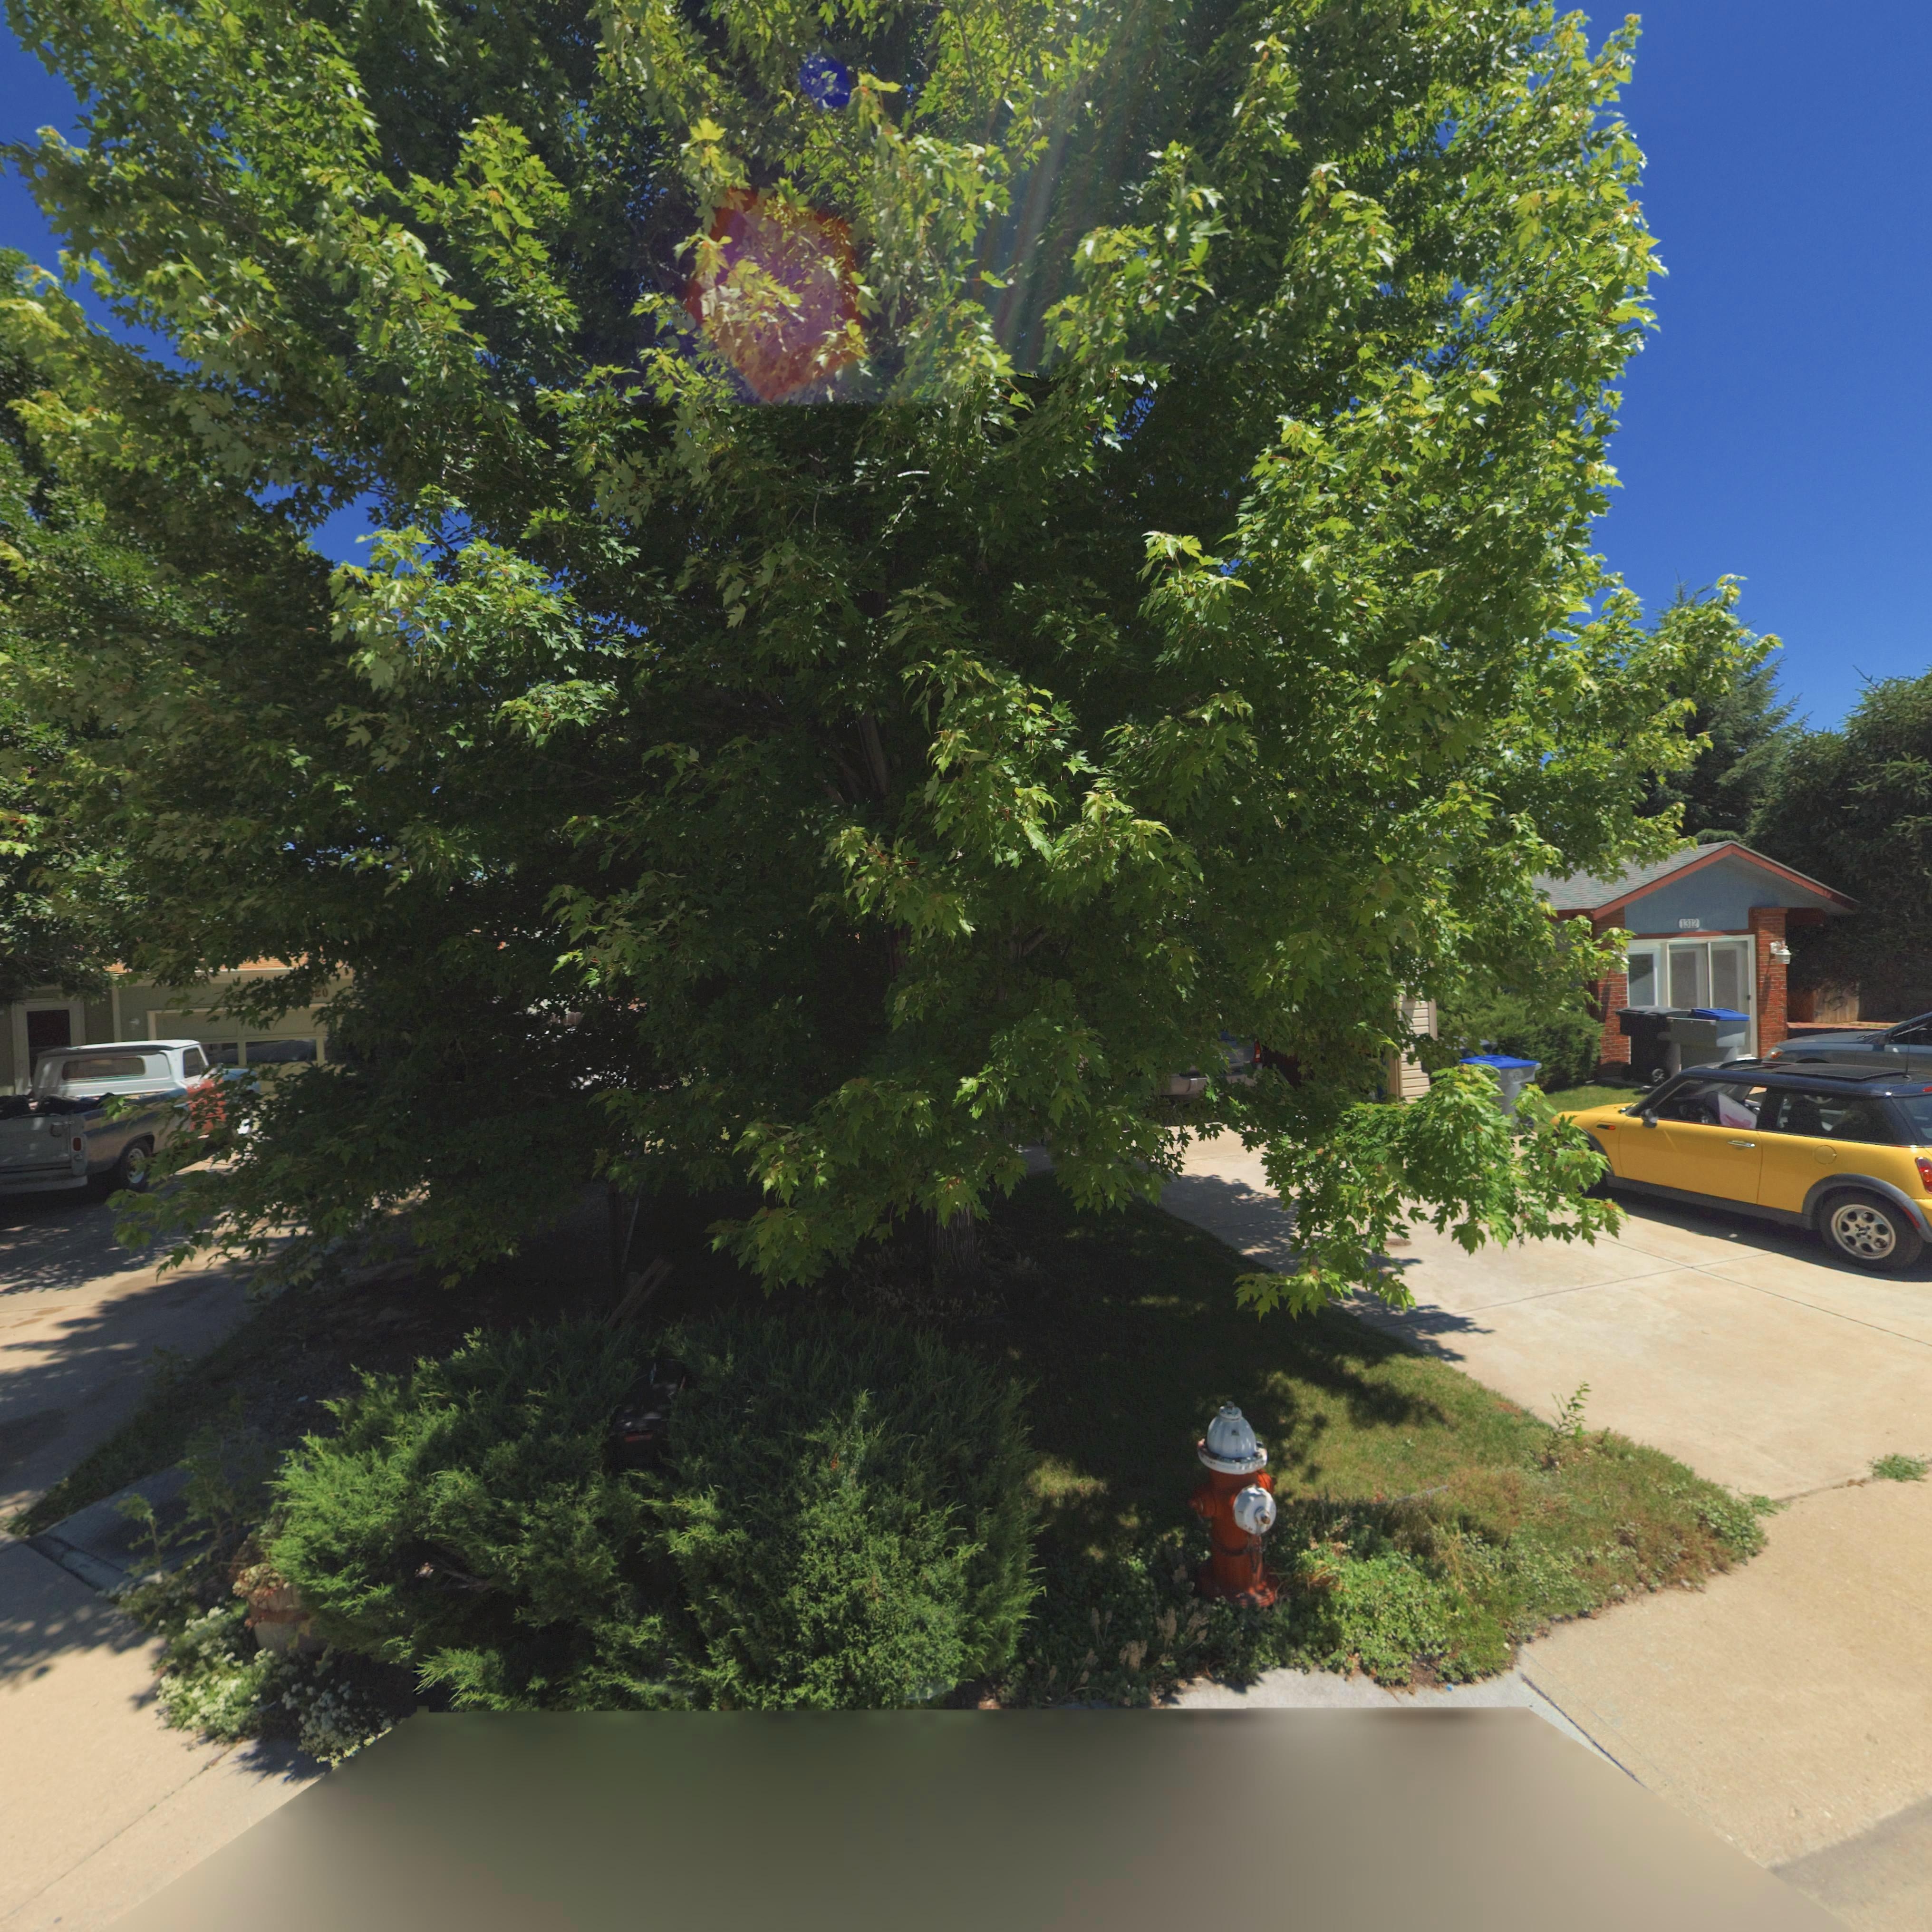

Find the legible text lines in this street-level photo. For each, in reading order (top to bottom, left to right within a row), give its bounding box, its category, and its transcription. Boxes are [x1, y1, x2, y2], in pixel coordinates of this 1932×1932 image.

[1681, 918, 1697, 927] StreetNumber: 1312
[304, 987, 328, 998] StreetNumber: **20